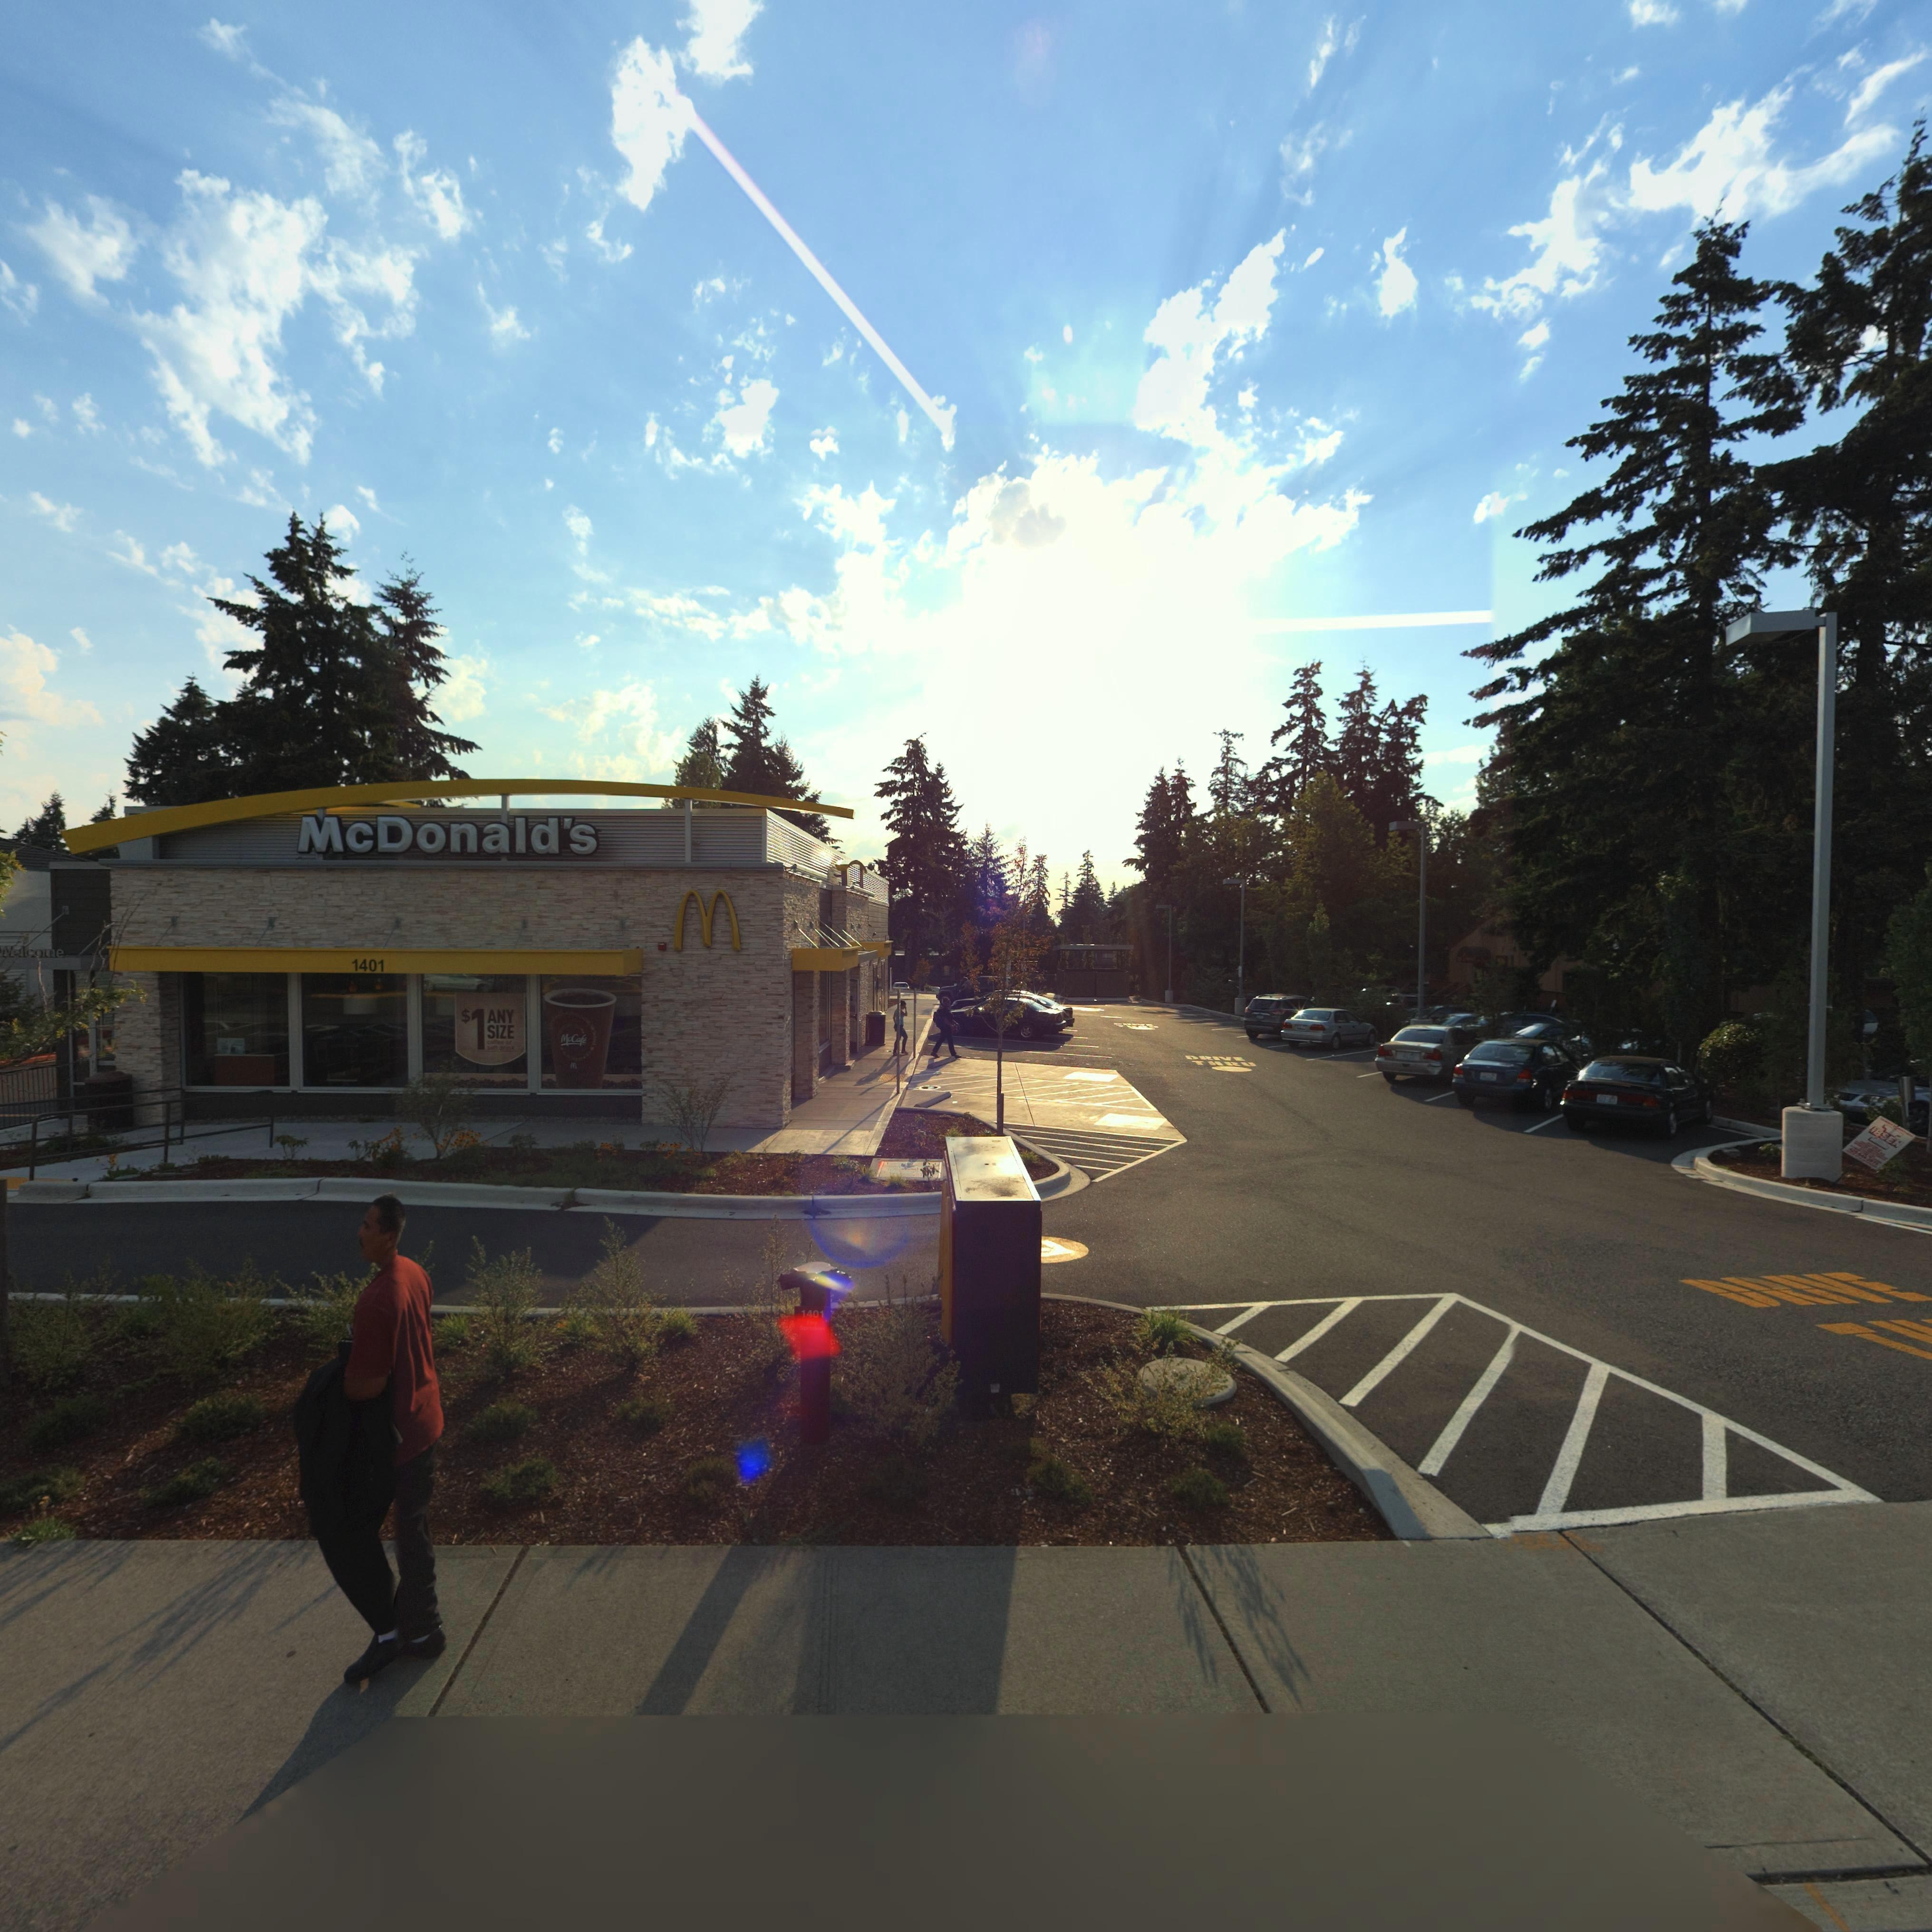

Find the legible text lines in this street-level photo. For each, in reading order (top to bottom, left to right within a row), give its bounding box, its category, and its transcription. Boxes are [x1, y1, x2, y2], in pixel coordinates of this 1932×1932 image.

[295, 814, 599, 856] BusinessName: McDonald*s
[352, 959, 384, 973] StreetNumber: 1401